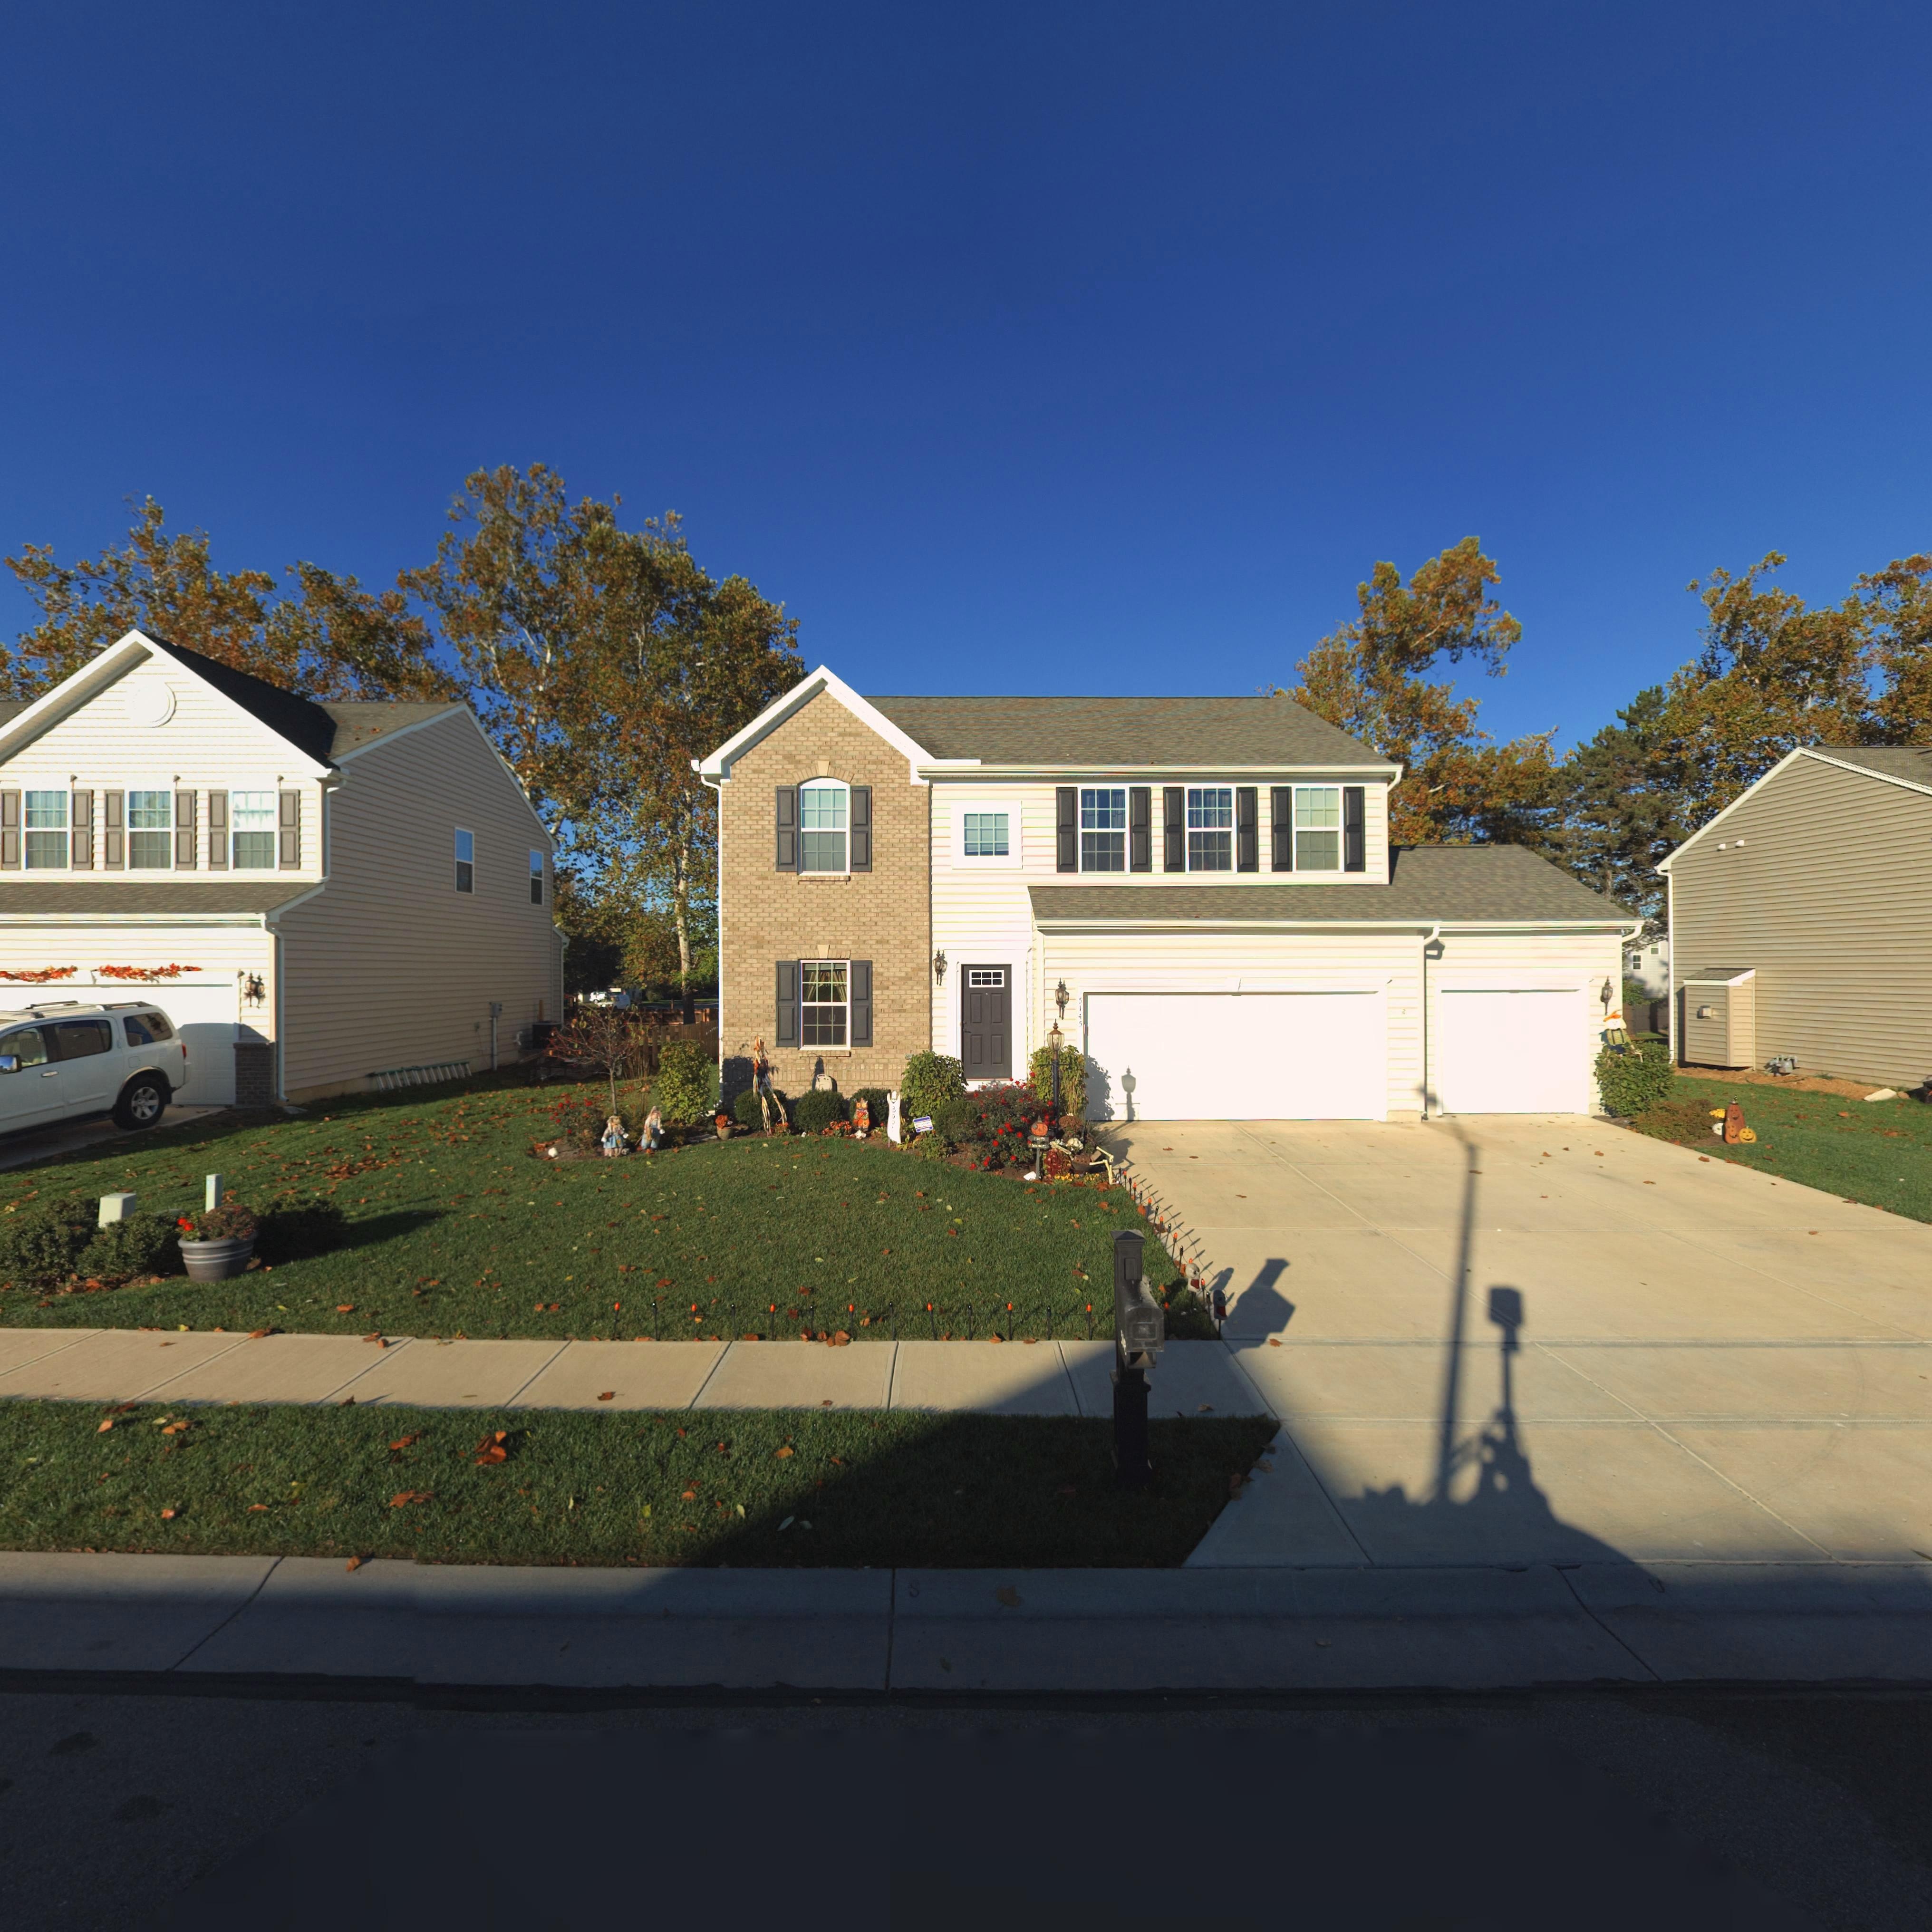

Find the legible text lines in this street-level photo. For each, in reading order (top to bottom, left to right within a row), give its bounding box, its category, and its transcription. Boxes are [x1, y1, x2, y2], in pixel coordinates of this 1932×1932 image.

[1077, 997, 1083, 1028] StreetNumber: 5145